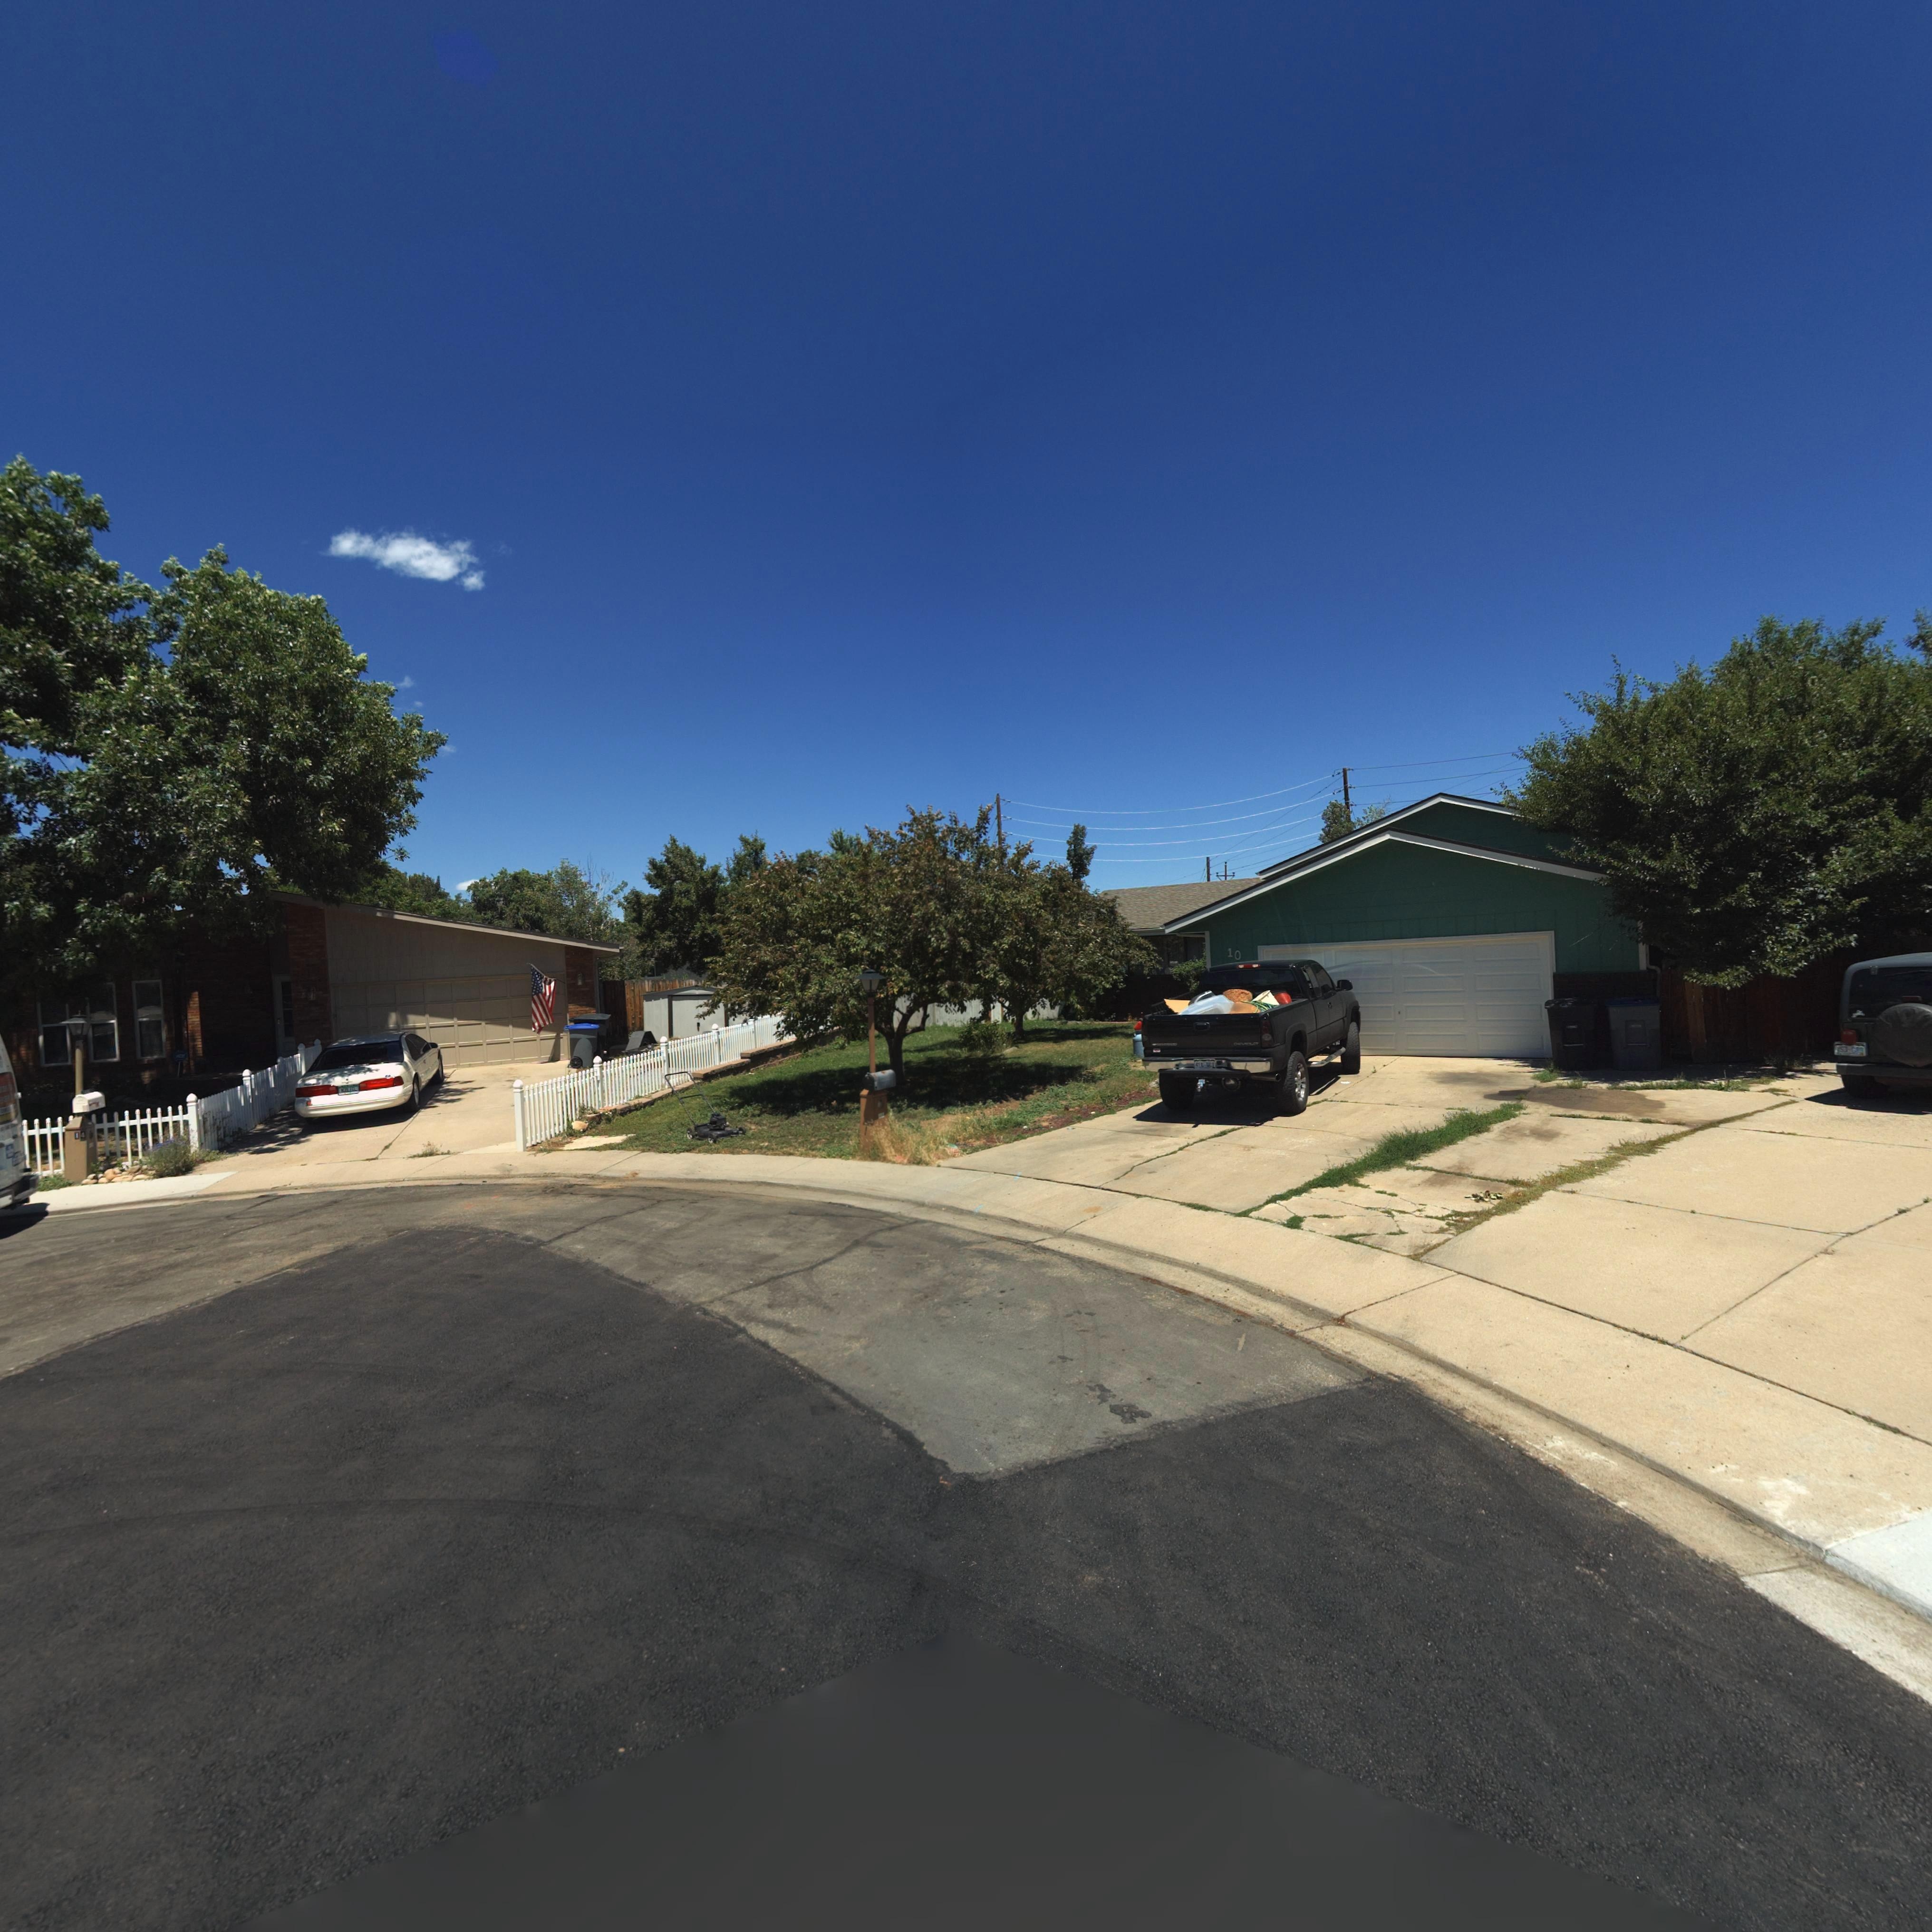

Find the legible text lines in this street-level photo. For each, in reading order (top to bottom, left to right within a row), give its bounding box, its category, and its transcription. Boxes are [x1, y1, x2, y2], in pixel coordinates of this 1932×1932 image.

[1227, 947, 1241, 960] StreetNumber: 10
[336, 973, 345, 982] StreetNumber: 1*
[74, 1131, 85, 1139] StreetNumber: 14